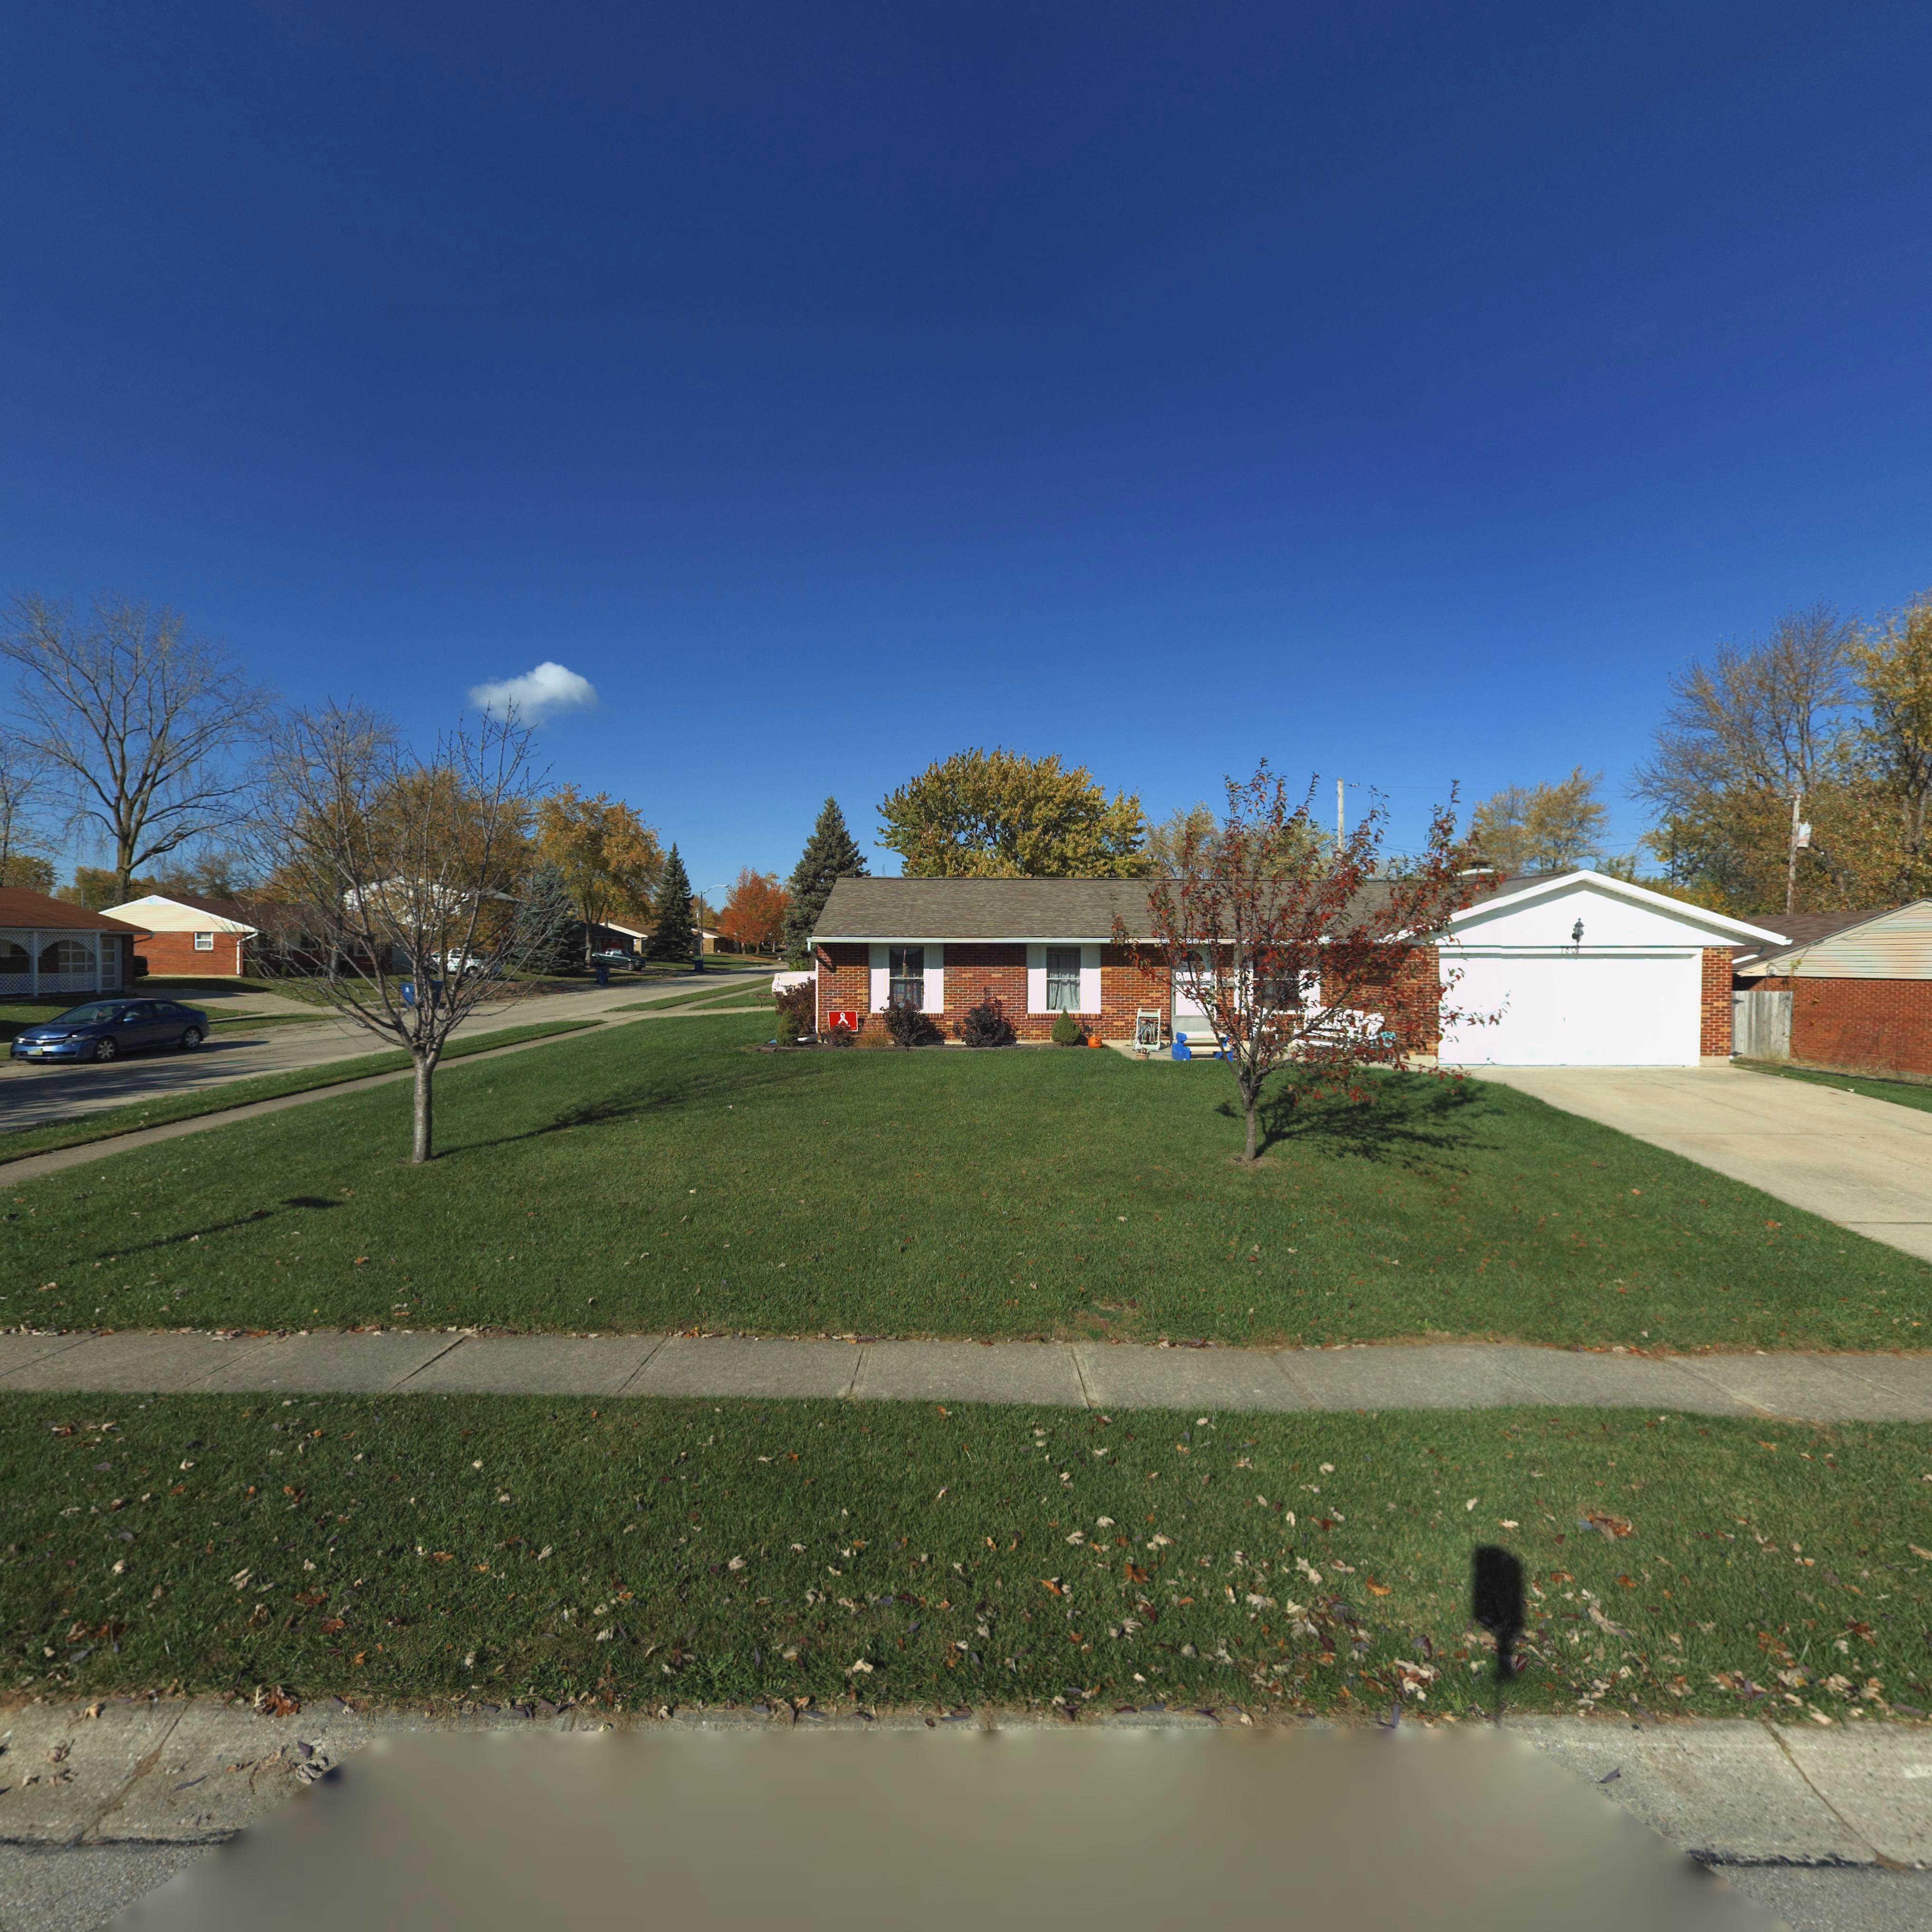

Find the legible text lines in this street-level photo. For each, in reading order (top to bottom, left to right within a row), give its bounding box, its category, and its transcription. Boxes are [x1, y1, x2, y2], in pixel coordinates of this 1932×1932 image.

[1558, 946, 1581, 955] StreetNumber: 780*